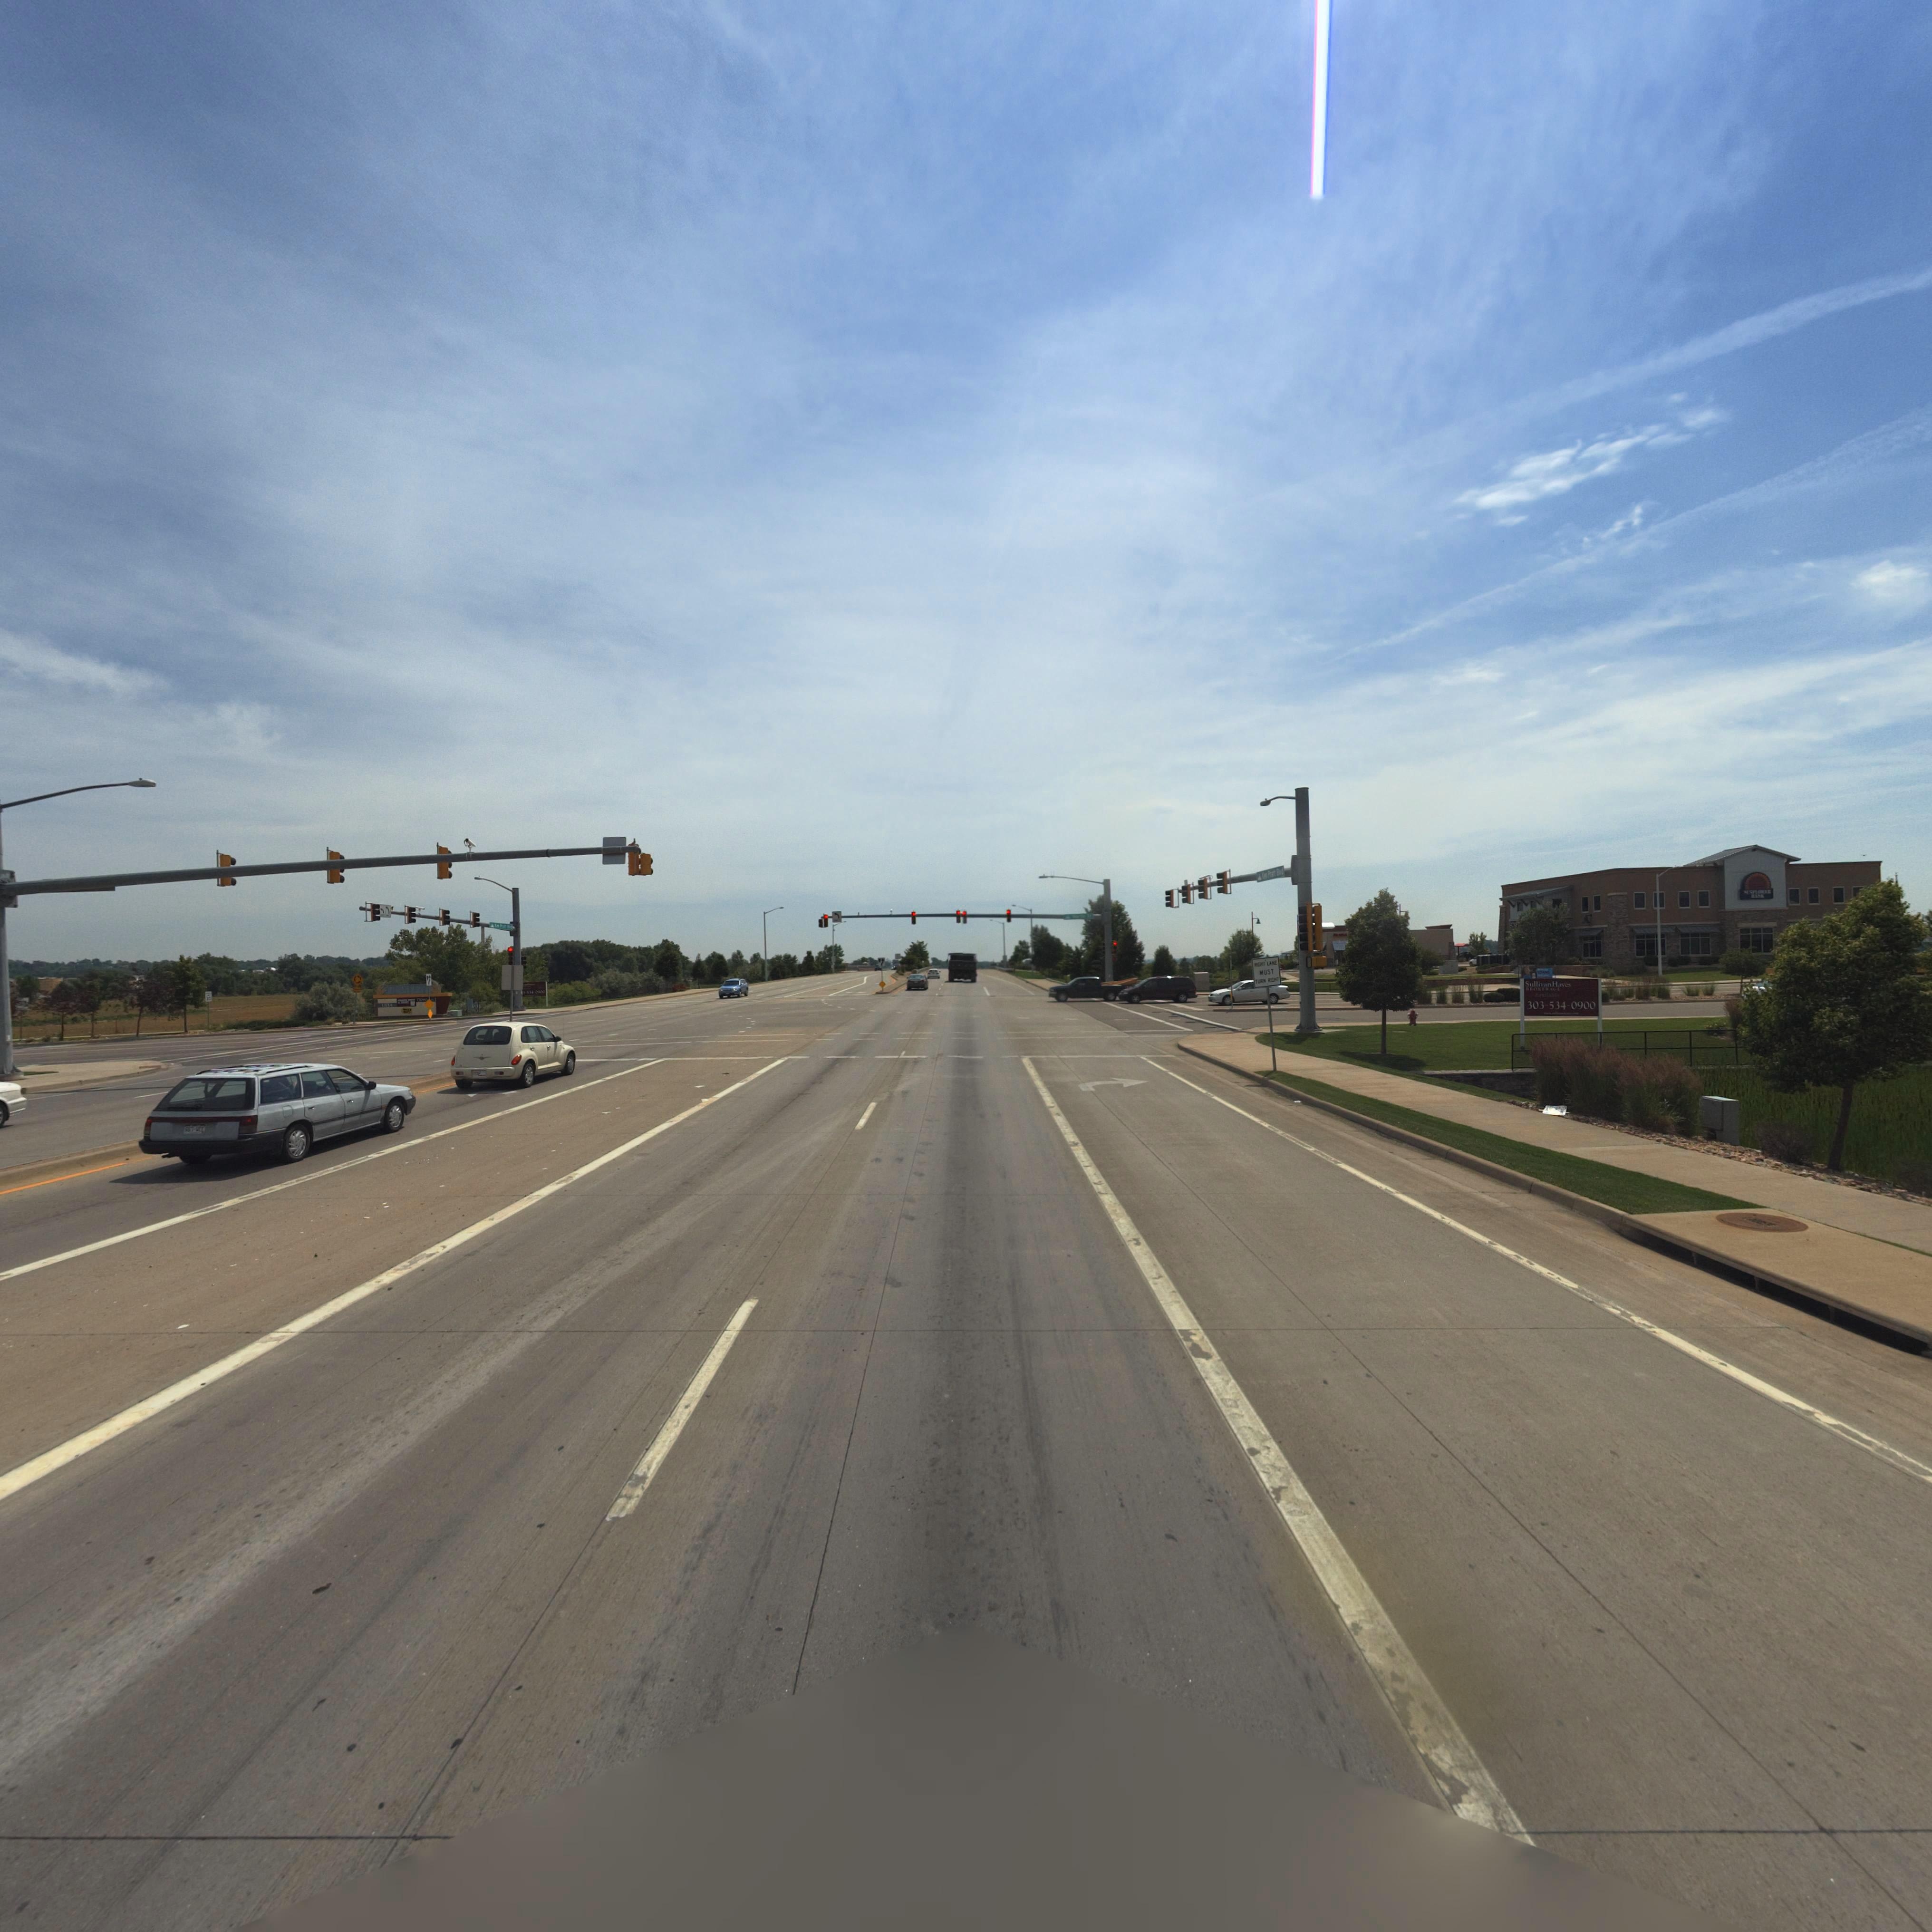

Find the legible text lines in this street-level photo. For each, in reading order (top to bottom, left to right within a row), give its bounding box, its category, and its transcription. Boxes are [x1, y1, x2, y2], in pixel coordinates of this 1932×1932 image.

[1261, 866, 1284, 879] StreetName: *** Pra* B**
[381, 1003, 393, 1007] None: ULTA